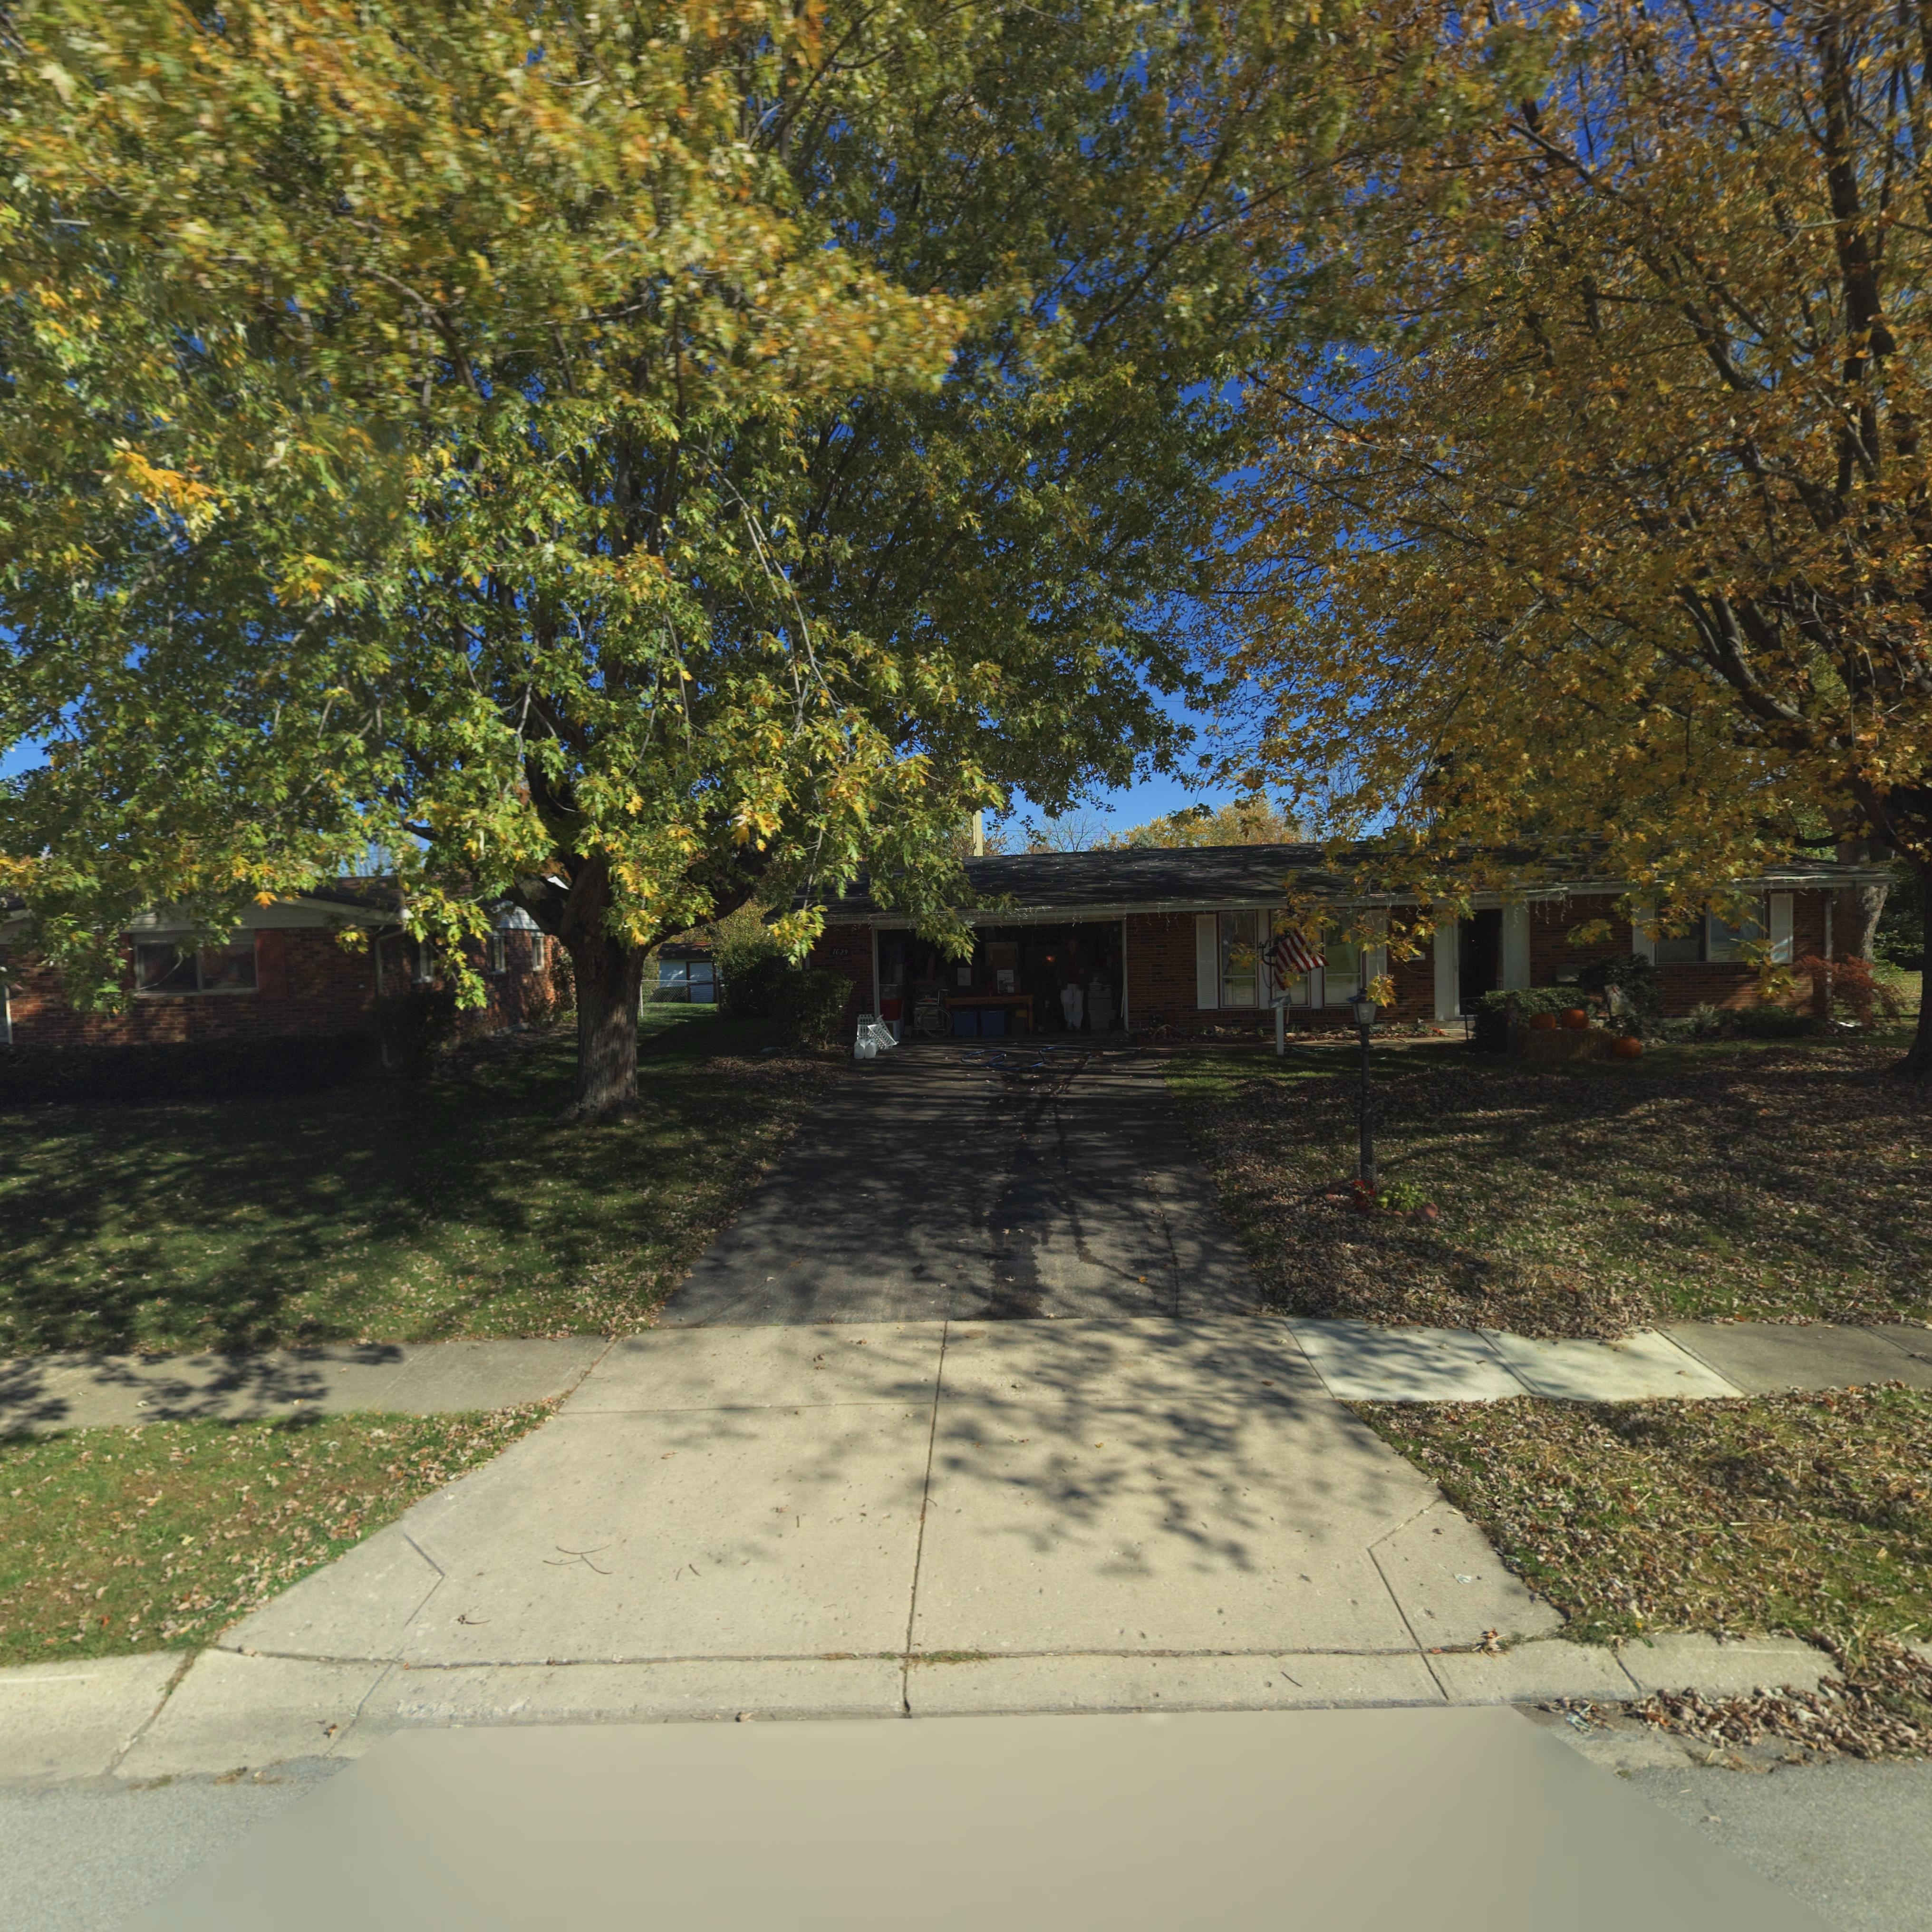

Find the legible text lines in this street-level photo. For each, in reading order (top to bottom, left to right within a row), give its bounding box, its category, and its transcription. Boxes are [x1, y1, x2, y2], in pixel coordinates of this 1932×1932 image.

[832, 948, 849, 956] StreetNumber: 1029